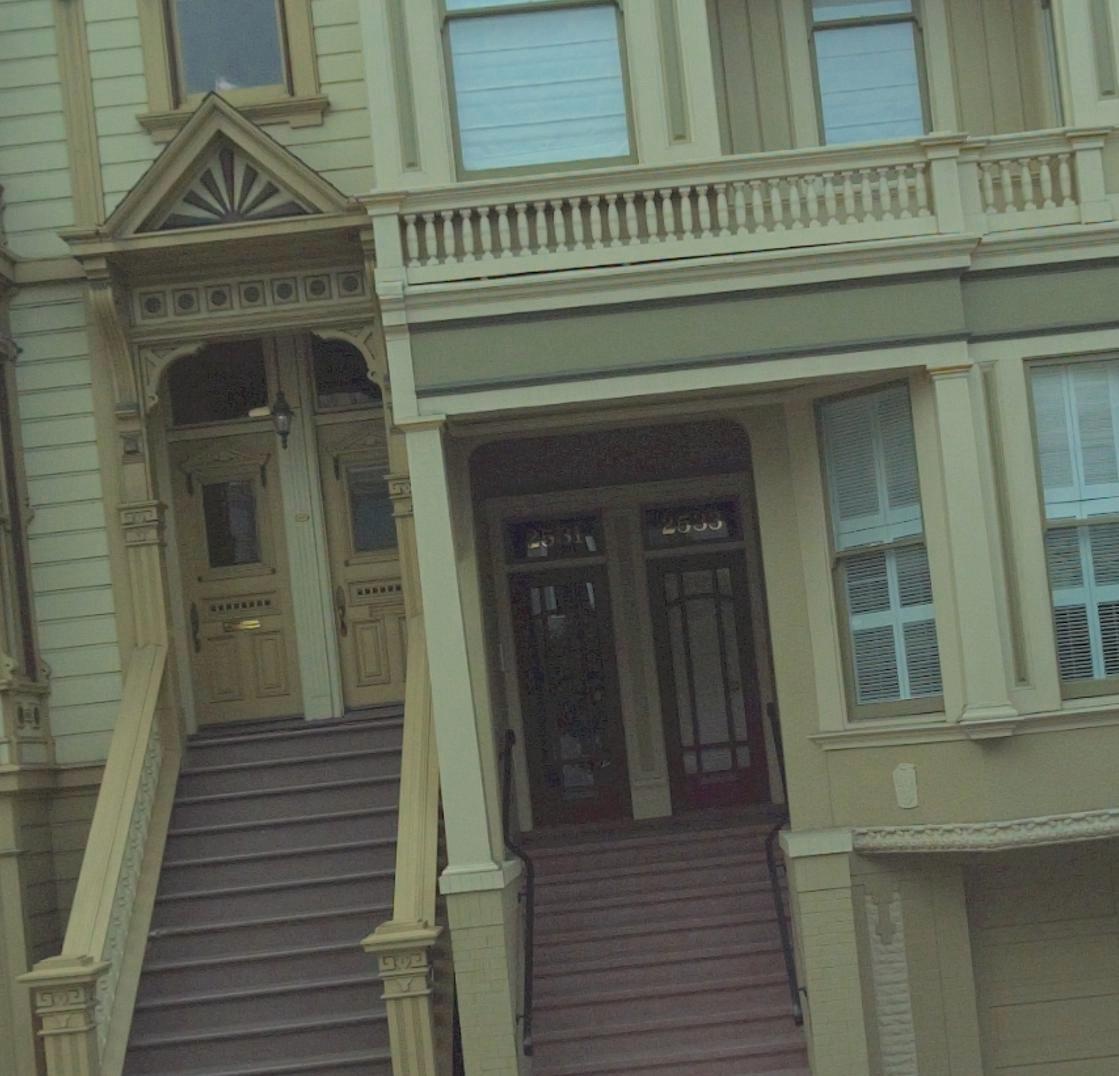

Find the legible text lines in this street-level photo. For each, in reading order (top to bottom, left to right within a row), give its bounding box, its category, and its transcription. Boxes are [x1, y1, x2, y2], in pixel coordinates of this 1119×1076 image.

[522, 521, 587, 553] StreetNumber: 2531
[657, 507, 725, 538] StreetNumber: 2533